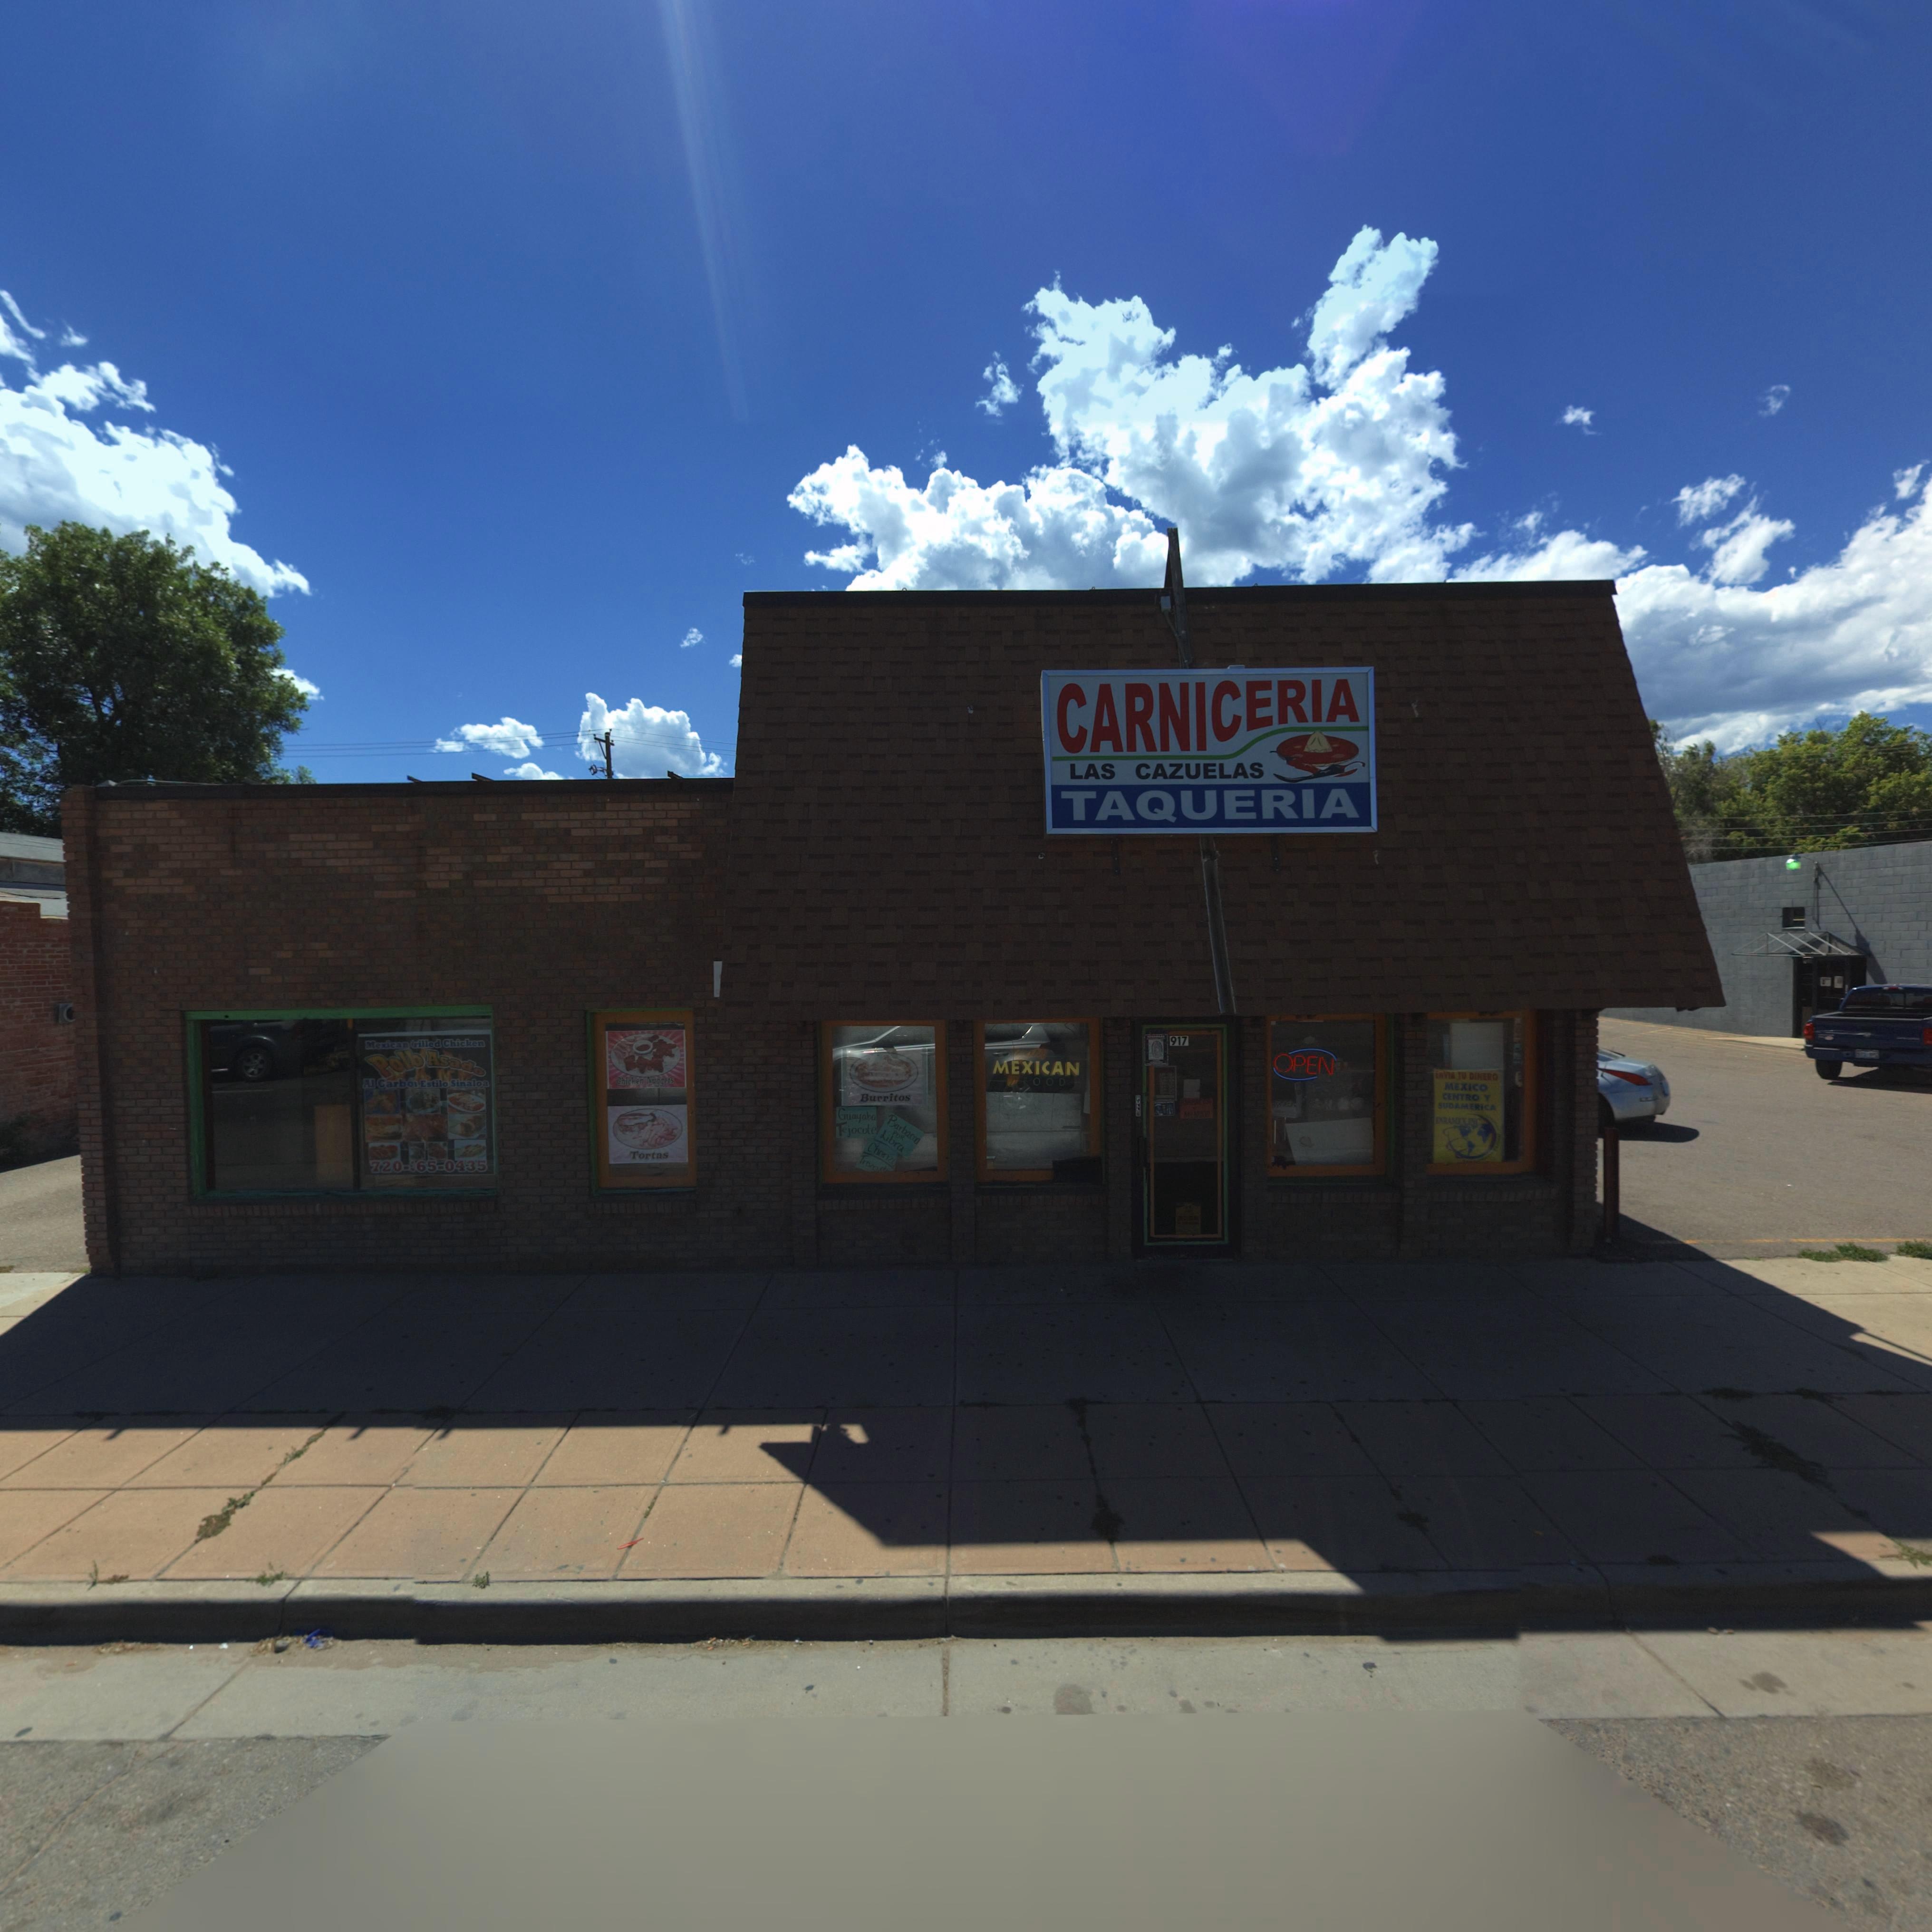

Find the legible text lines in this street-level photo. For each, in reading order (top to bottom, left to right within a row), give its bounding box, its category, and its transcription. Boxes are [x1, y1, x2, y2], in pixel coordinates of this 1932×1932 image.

[1069, 762, 1264, 780] BusinessName: LAS CAZUELAS
[1170, 1036, 1187, 1045] StreetNumber: 917